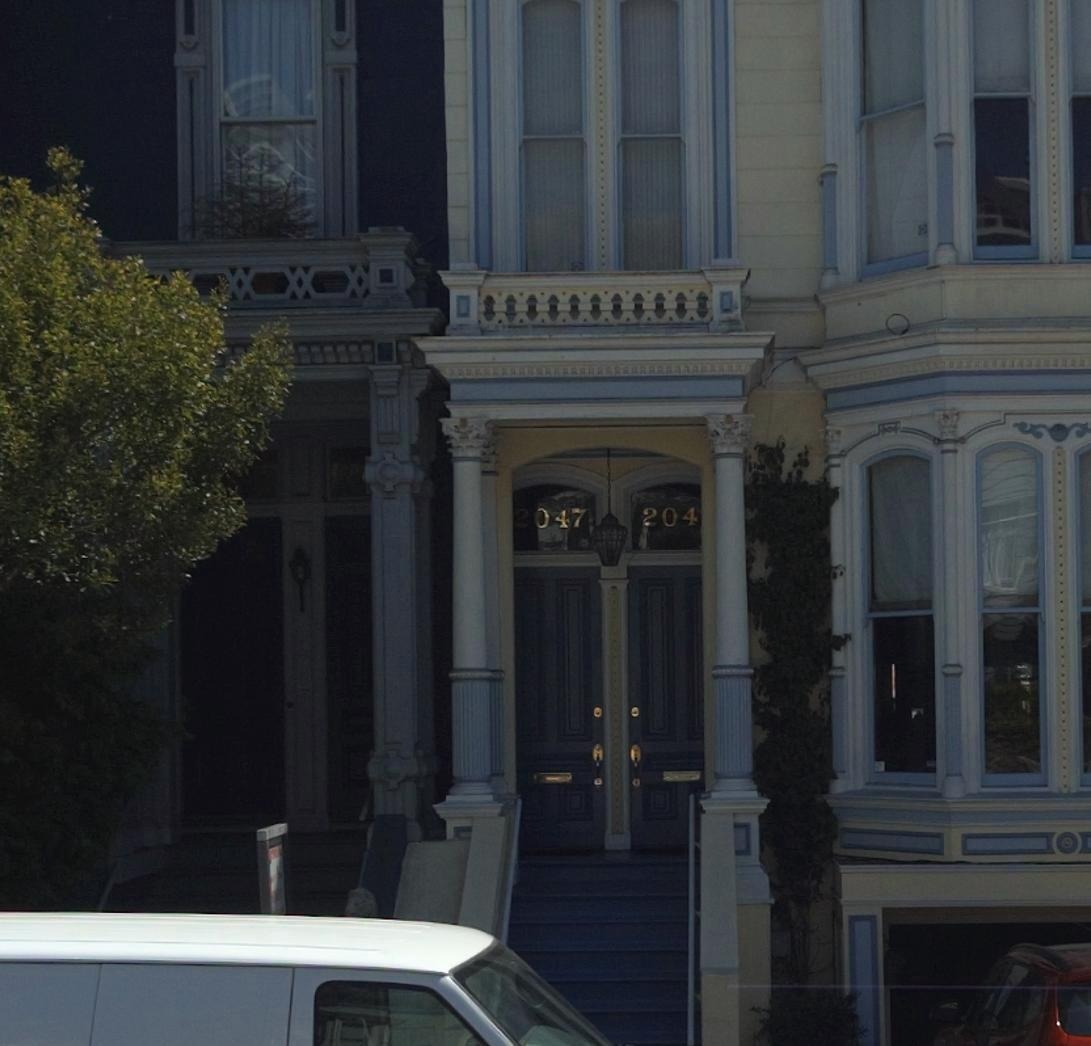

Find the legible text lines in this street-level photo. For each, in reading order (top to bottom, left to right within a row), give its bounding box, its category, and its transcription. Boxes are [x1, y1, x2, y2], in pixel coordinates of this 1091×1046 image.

[513, 507, 588, 530] StreetNumber: 2047
[641, 506, 699, 527] StreetNumber: 204